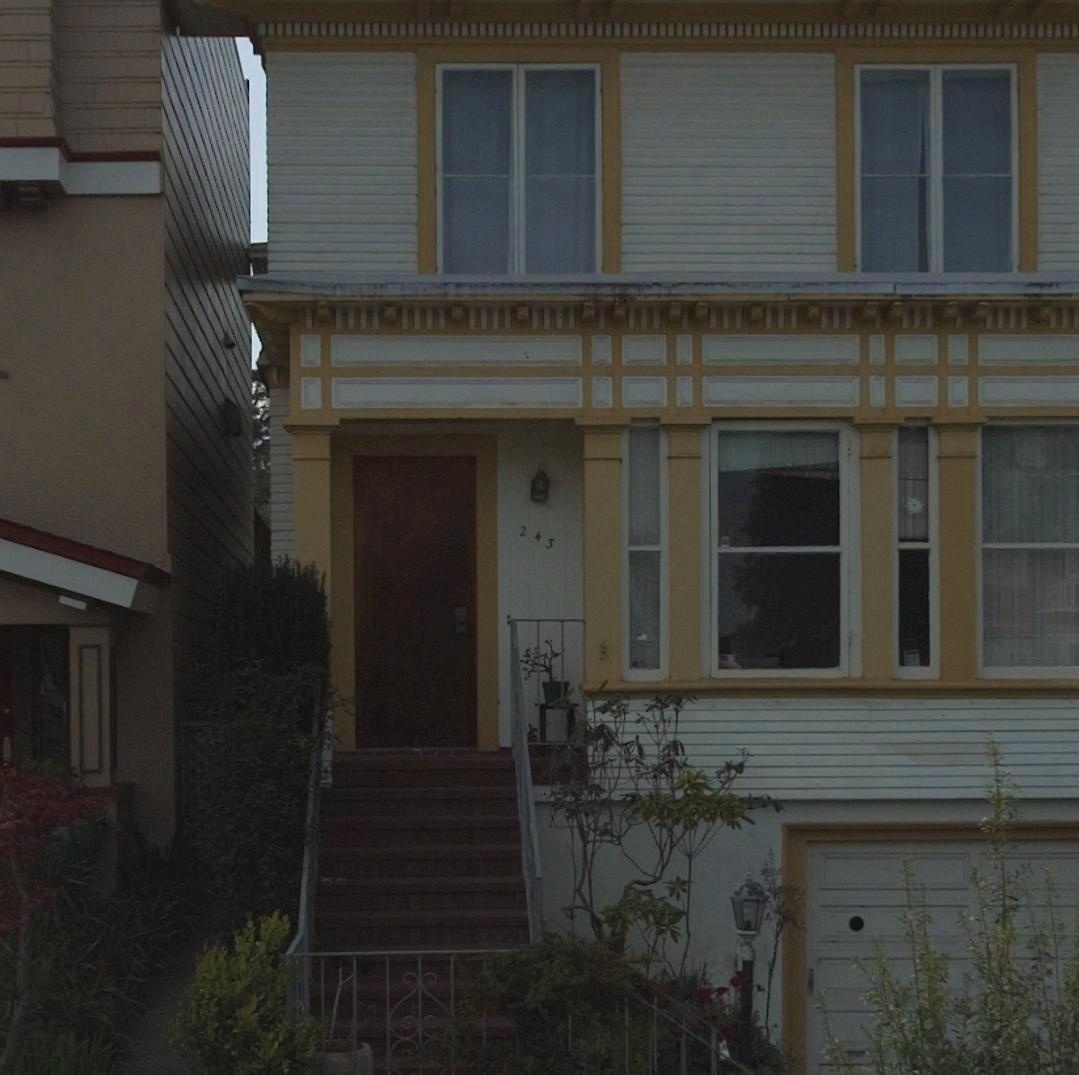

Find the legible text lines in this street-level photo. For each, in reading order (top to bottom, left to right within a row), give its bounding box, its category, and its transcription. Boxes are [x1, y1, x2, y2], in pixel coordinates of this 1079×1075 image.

[518, 524, 559, 553] StreetNumber: 243